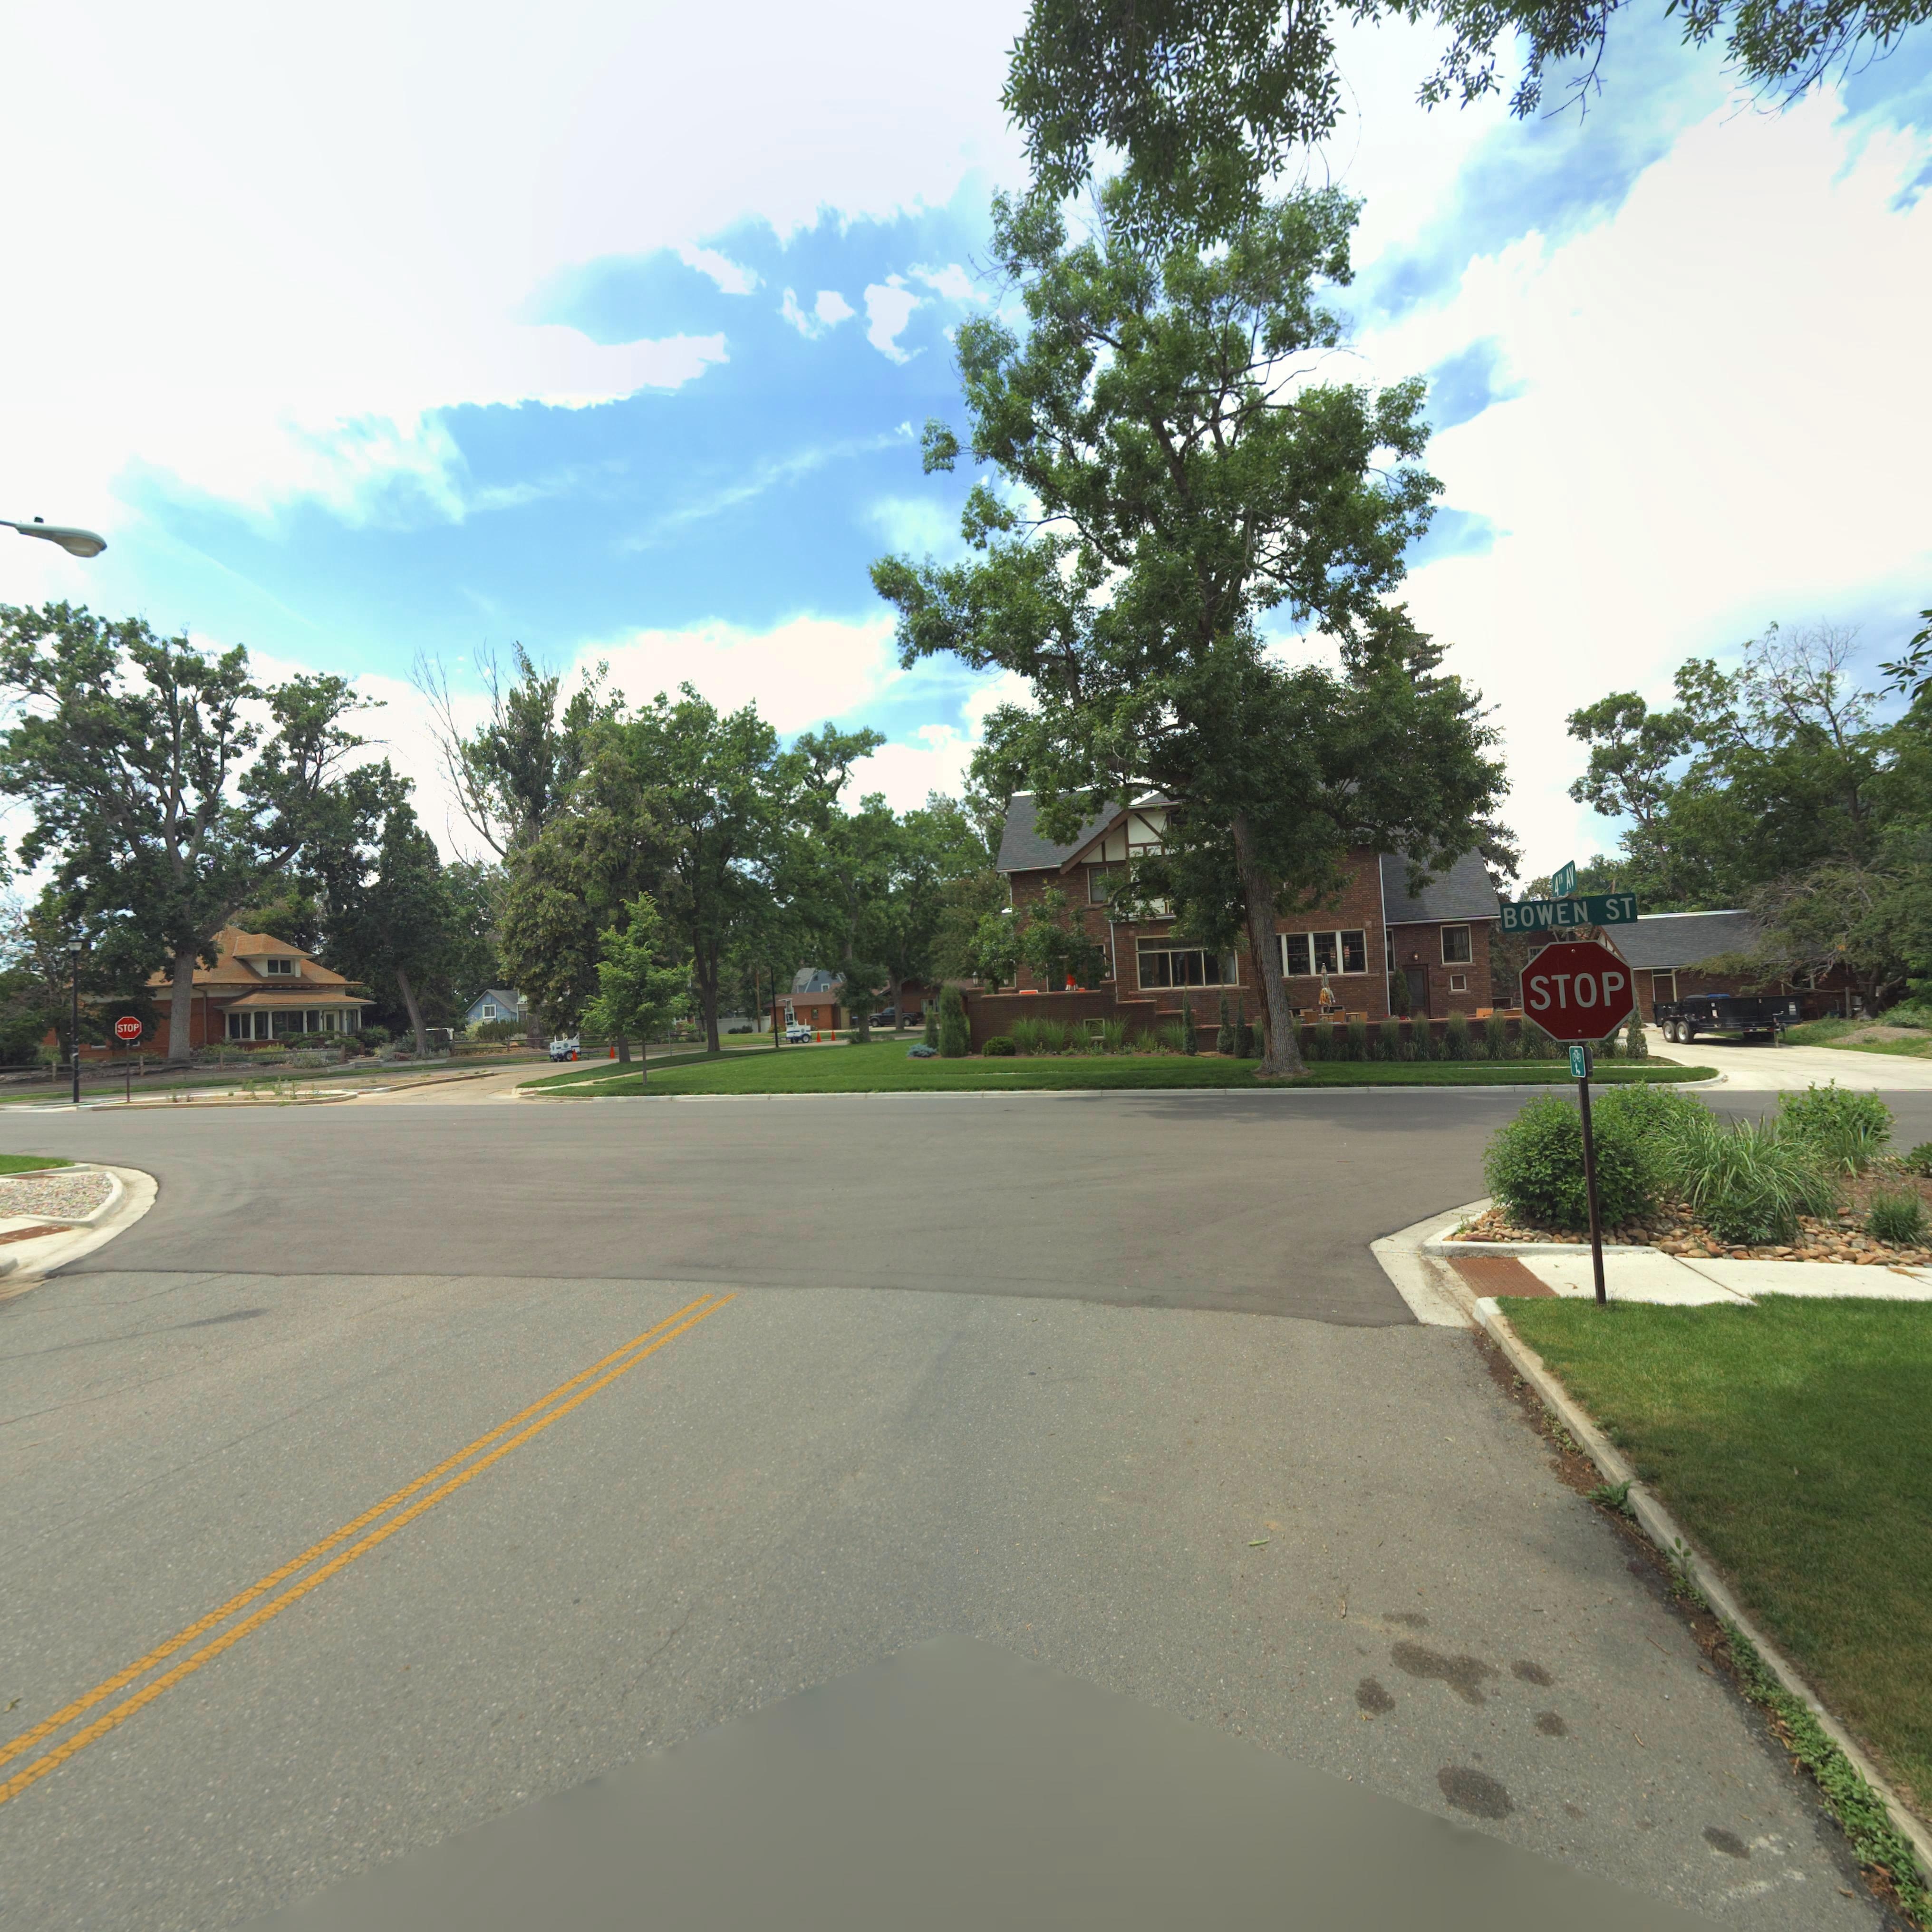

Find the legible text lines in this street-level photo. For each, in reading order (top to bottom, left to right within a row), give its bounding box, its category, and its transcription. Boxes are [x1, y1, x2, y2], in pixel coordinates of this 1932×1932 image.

[1554, 863, 1574, 897] StreetName: 4T* AV
[1502, 896, 1633, 929] StreetName: BOWEN ST